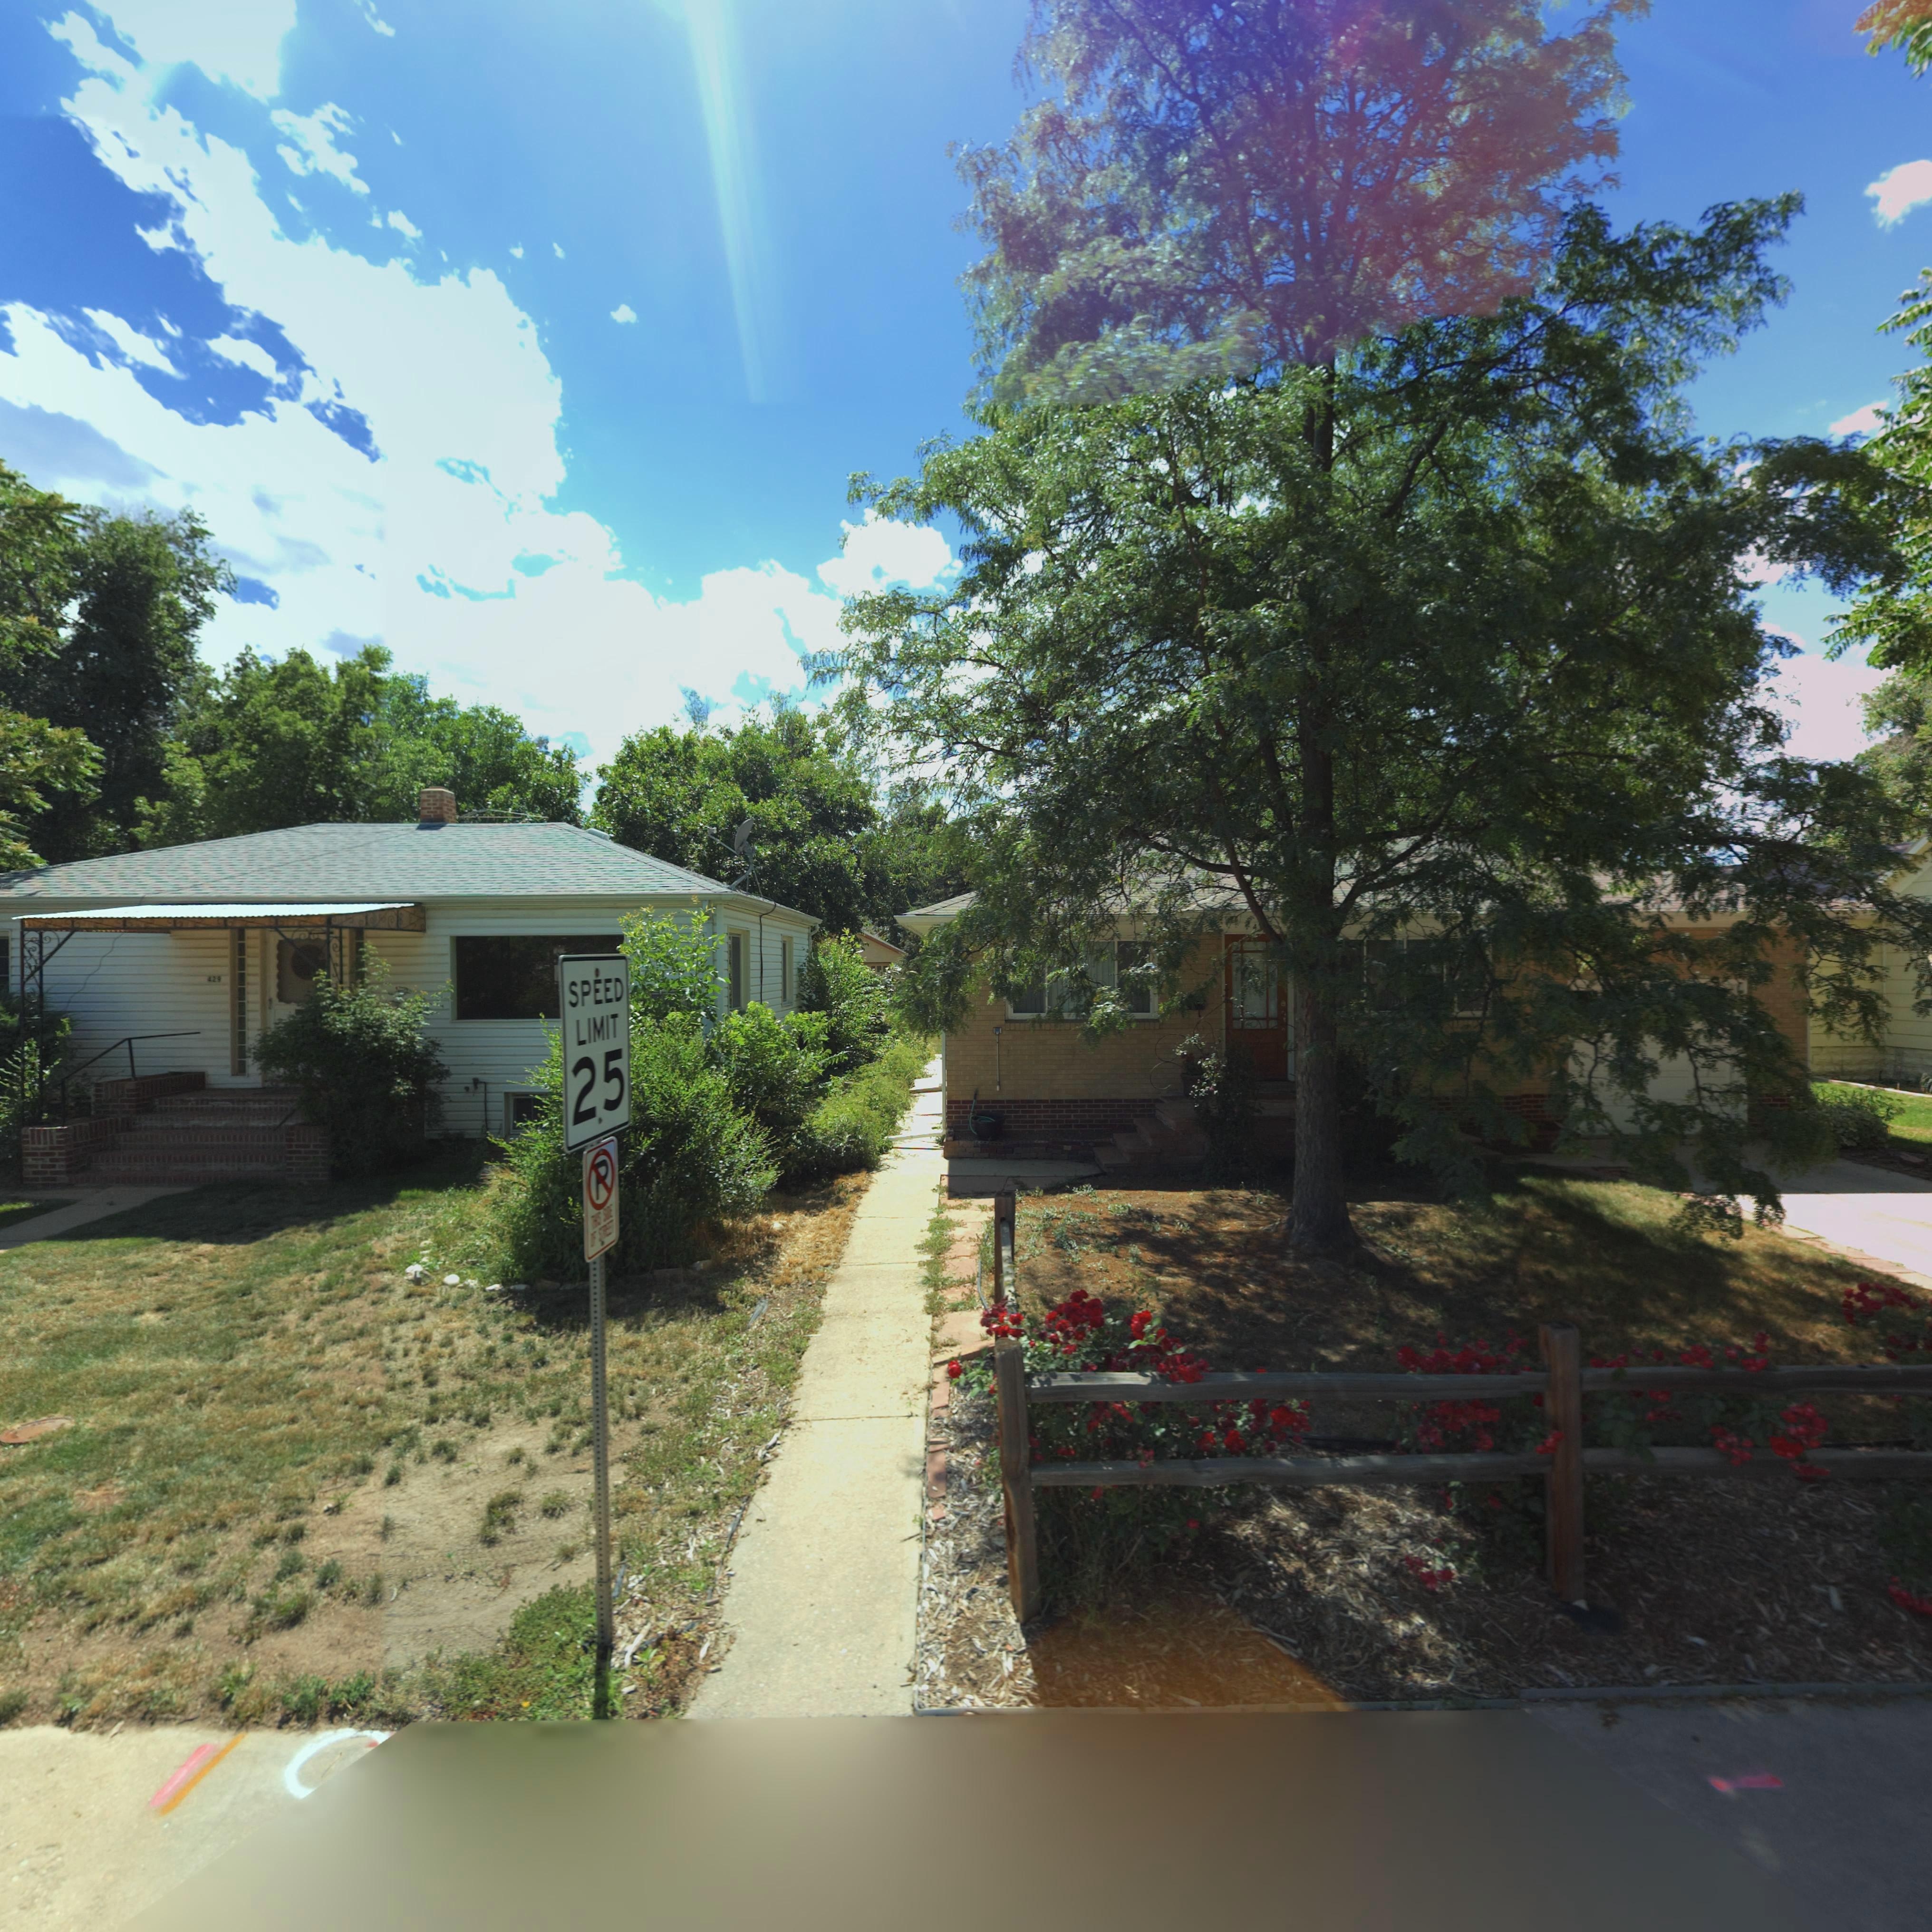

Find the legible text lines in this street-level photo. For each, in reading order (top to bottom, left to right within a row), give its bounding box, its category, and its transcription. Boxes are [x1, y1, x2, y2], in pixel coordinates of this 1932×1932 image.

[1252, 923, 1261, 930] StreetNumber: 4*
[206, 975, 221, 983] StreetNumber: 429